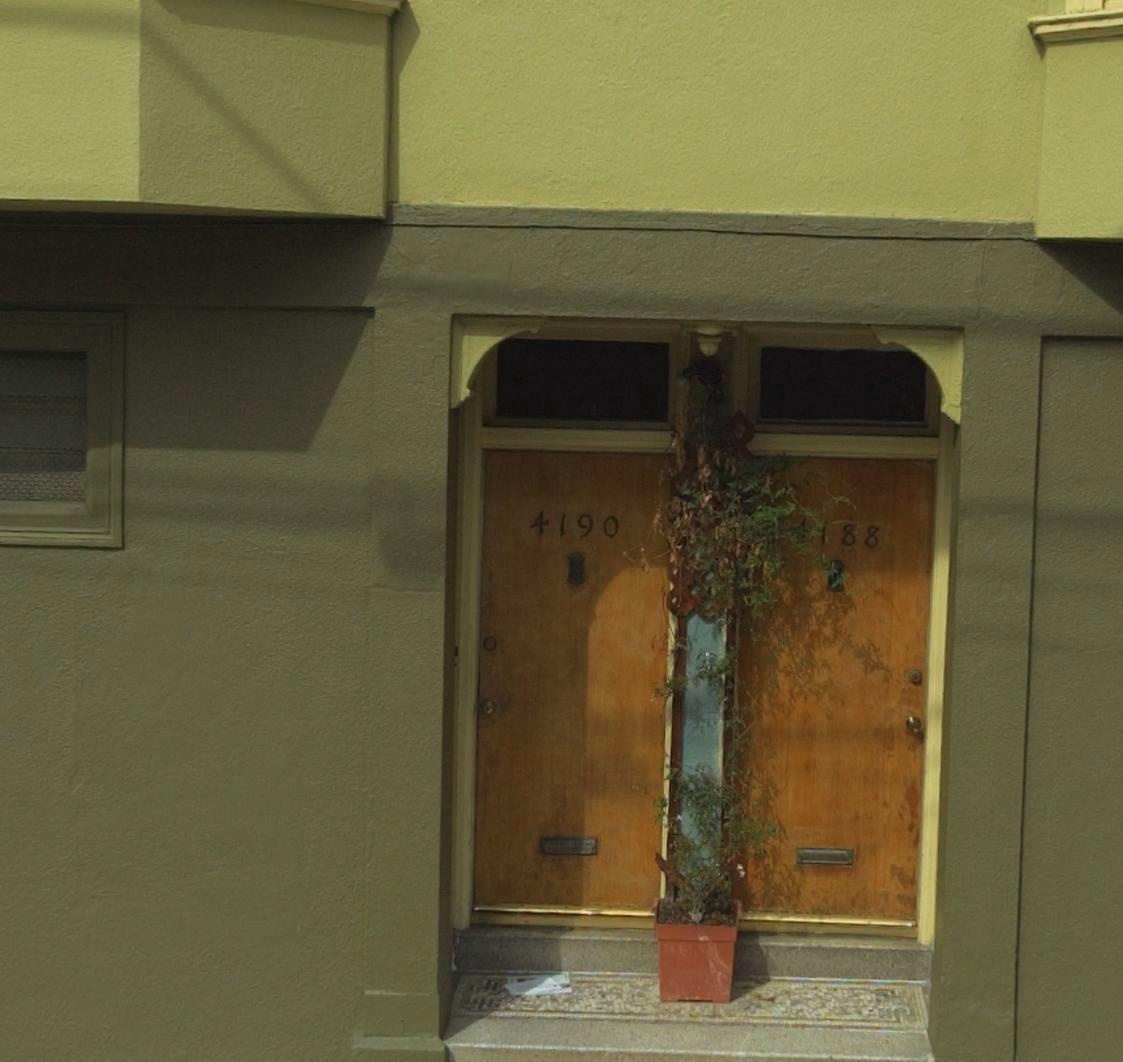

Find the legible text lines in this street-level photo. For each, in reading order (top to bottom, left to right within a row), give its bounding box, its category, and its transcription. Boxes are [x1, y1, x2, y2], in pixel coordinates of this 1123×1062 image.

[528, 506, 621, 539] StreetNumber: 4190
[793, 516, 881, 550] StreetNumber: **88